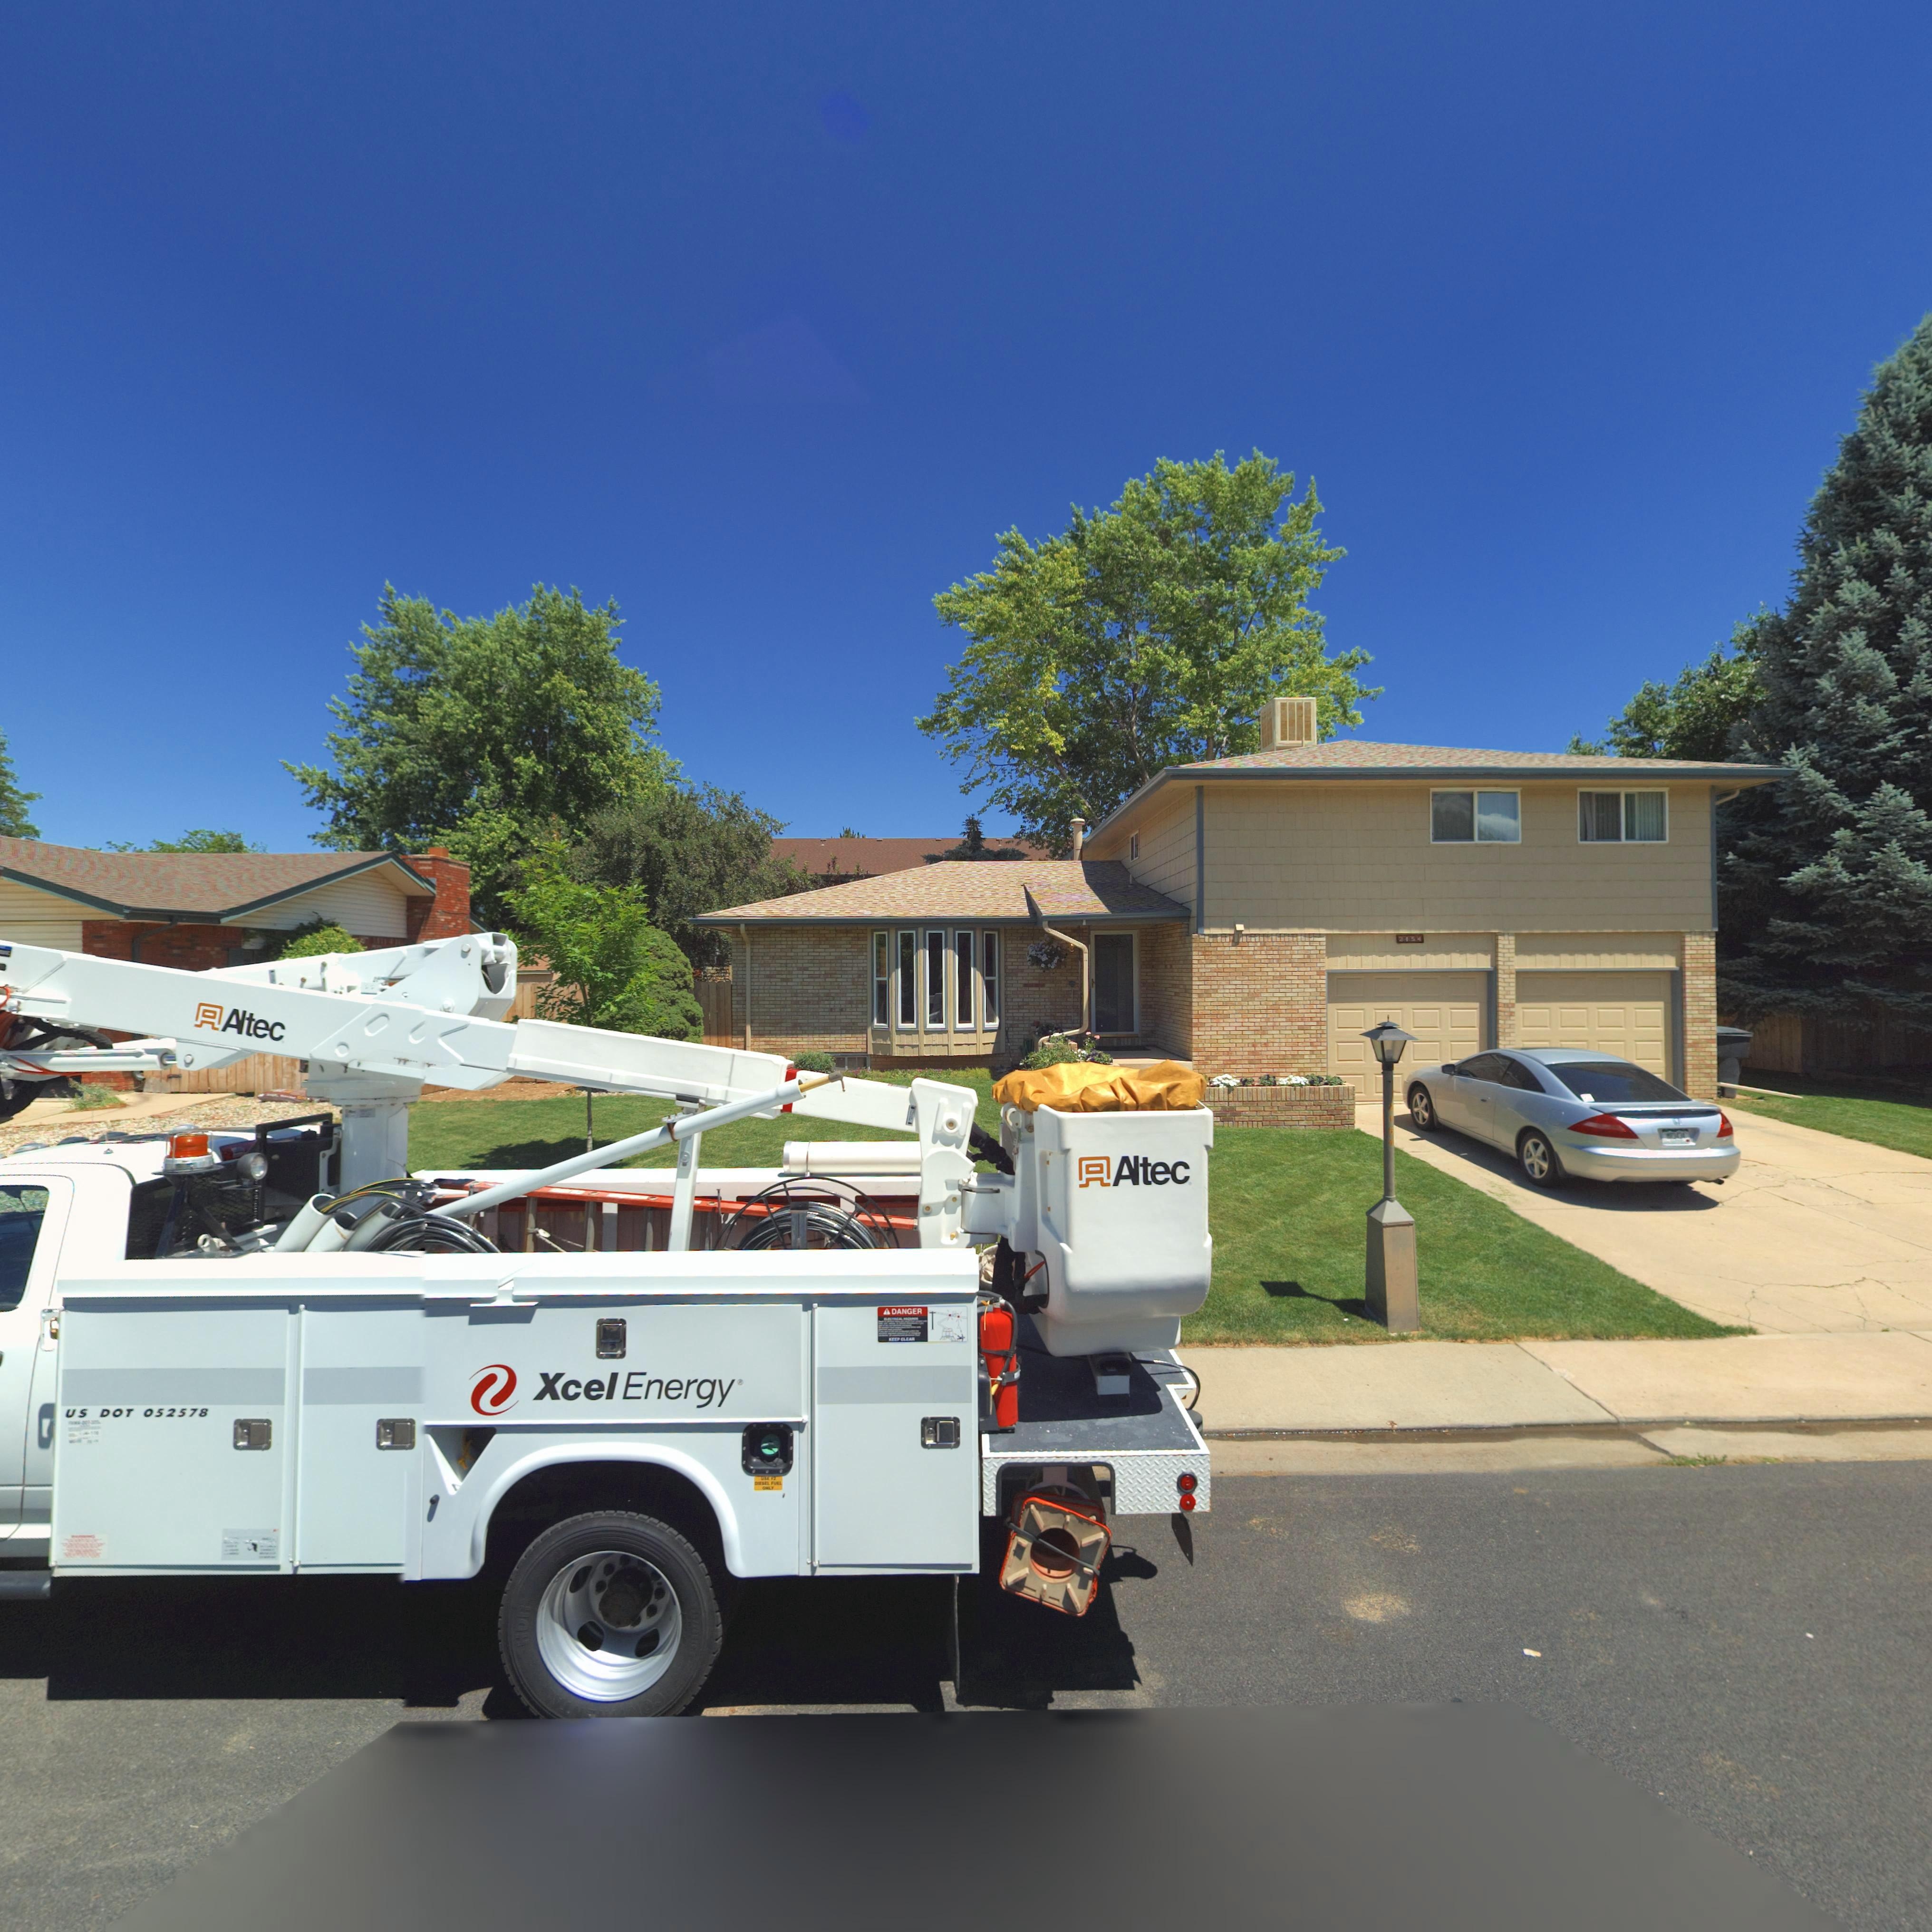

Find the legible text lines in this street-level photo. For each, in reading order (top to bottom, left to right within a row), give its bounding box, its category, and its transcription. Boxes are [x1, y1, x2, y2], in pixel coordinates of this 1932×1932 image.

[1399, 936, 1422, 941] StreetNumber: 2154